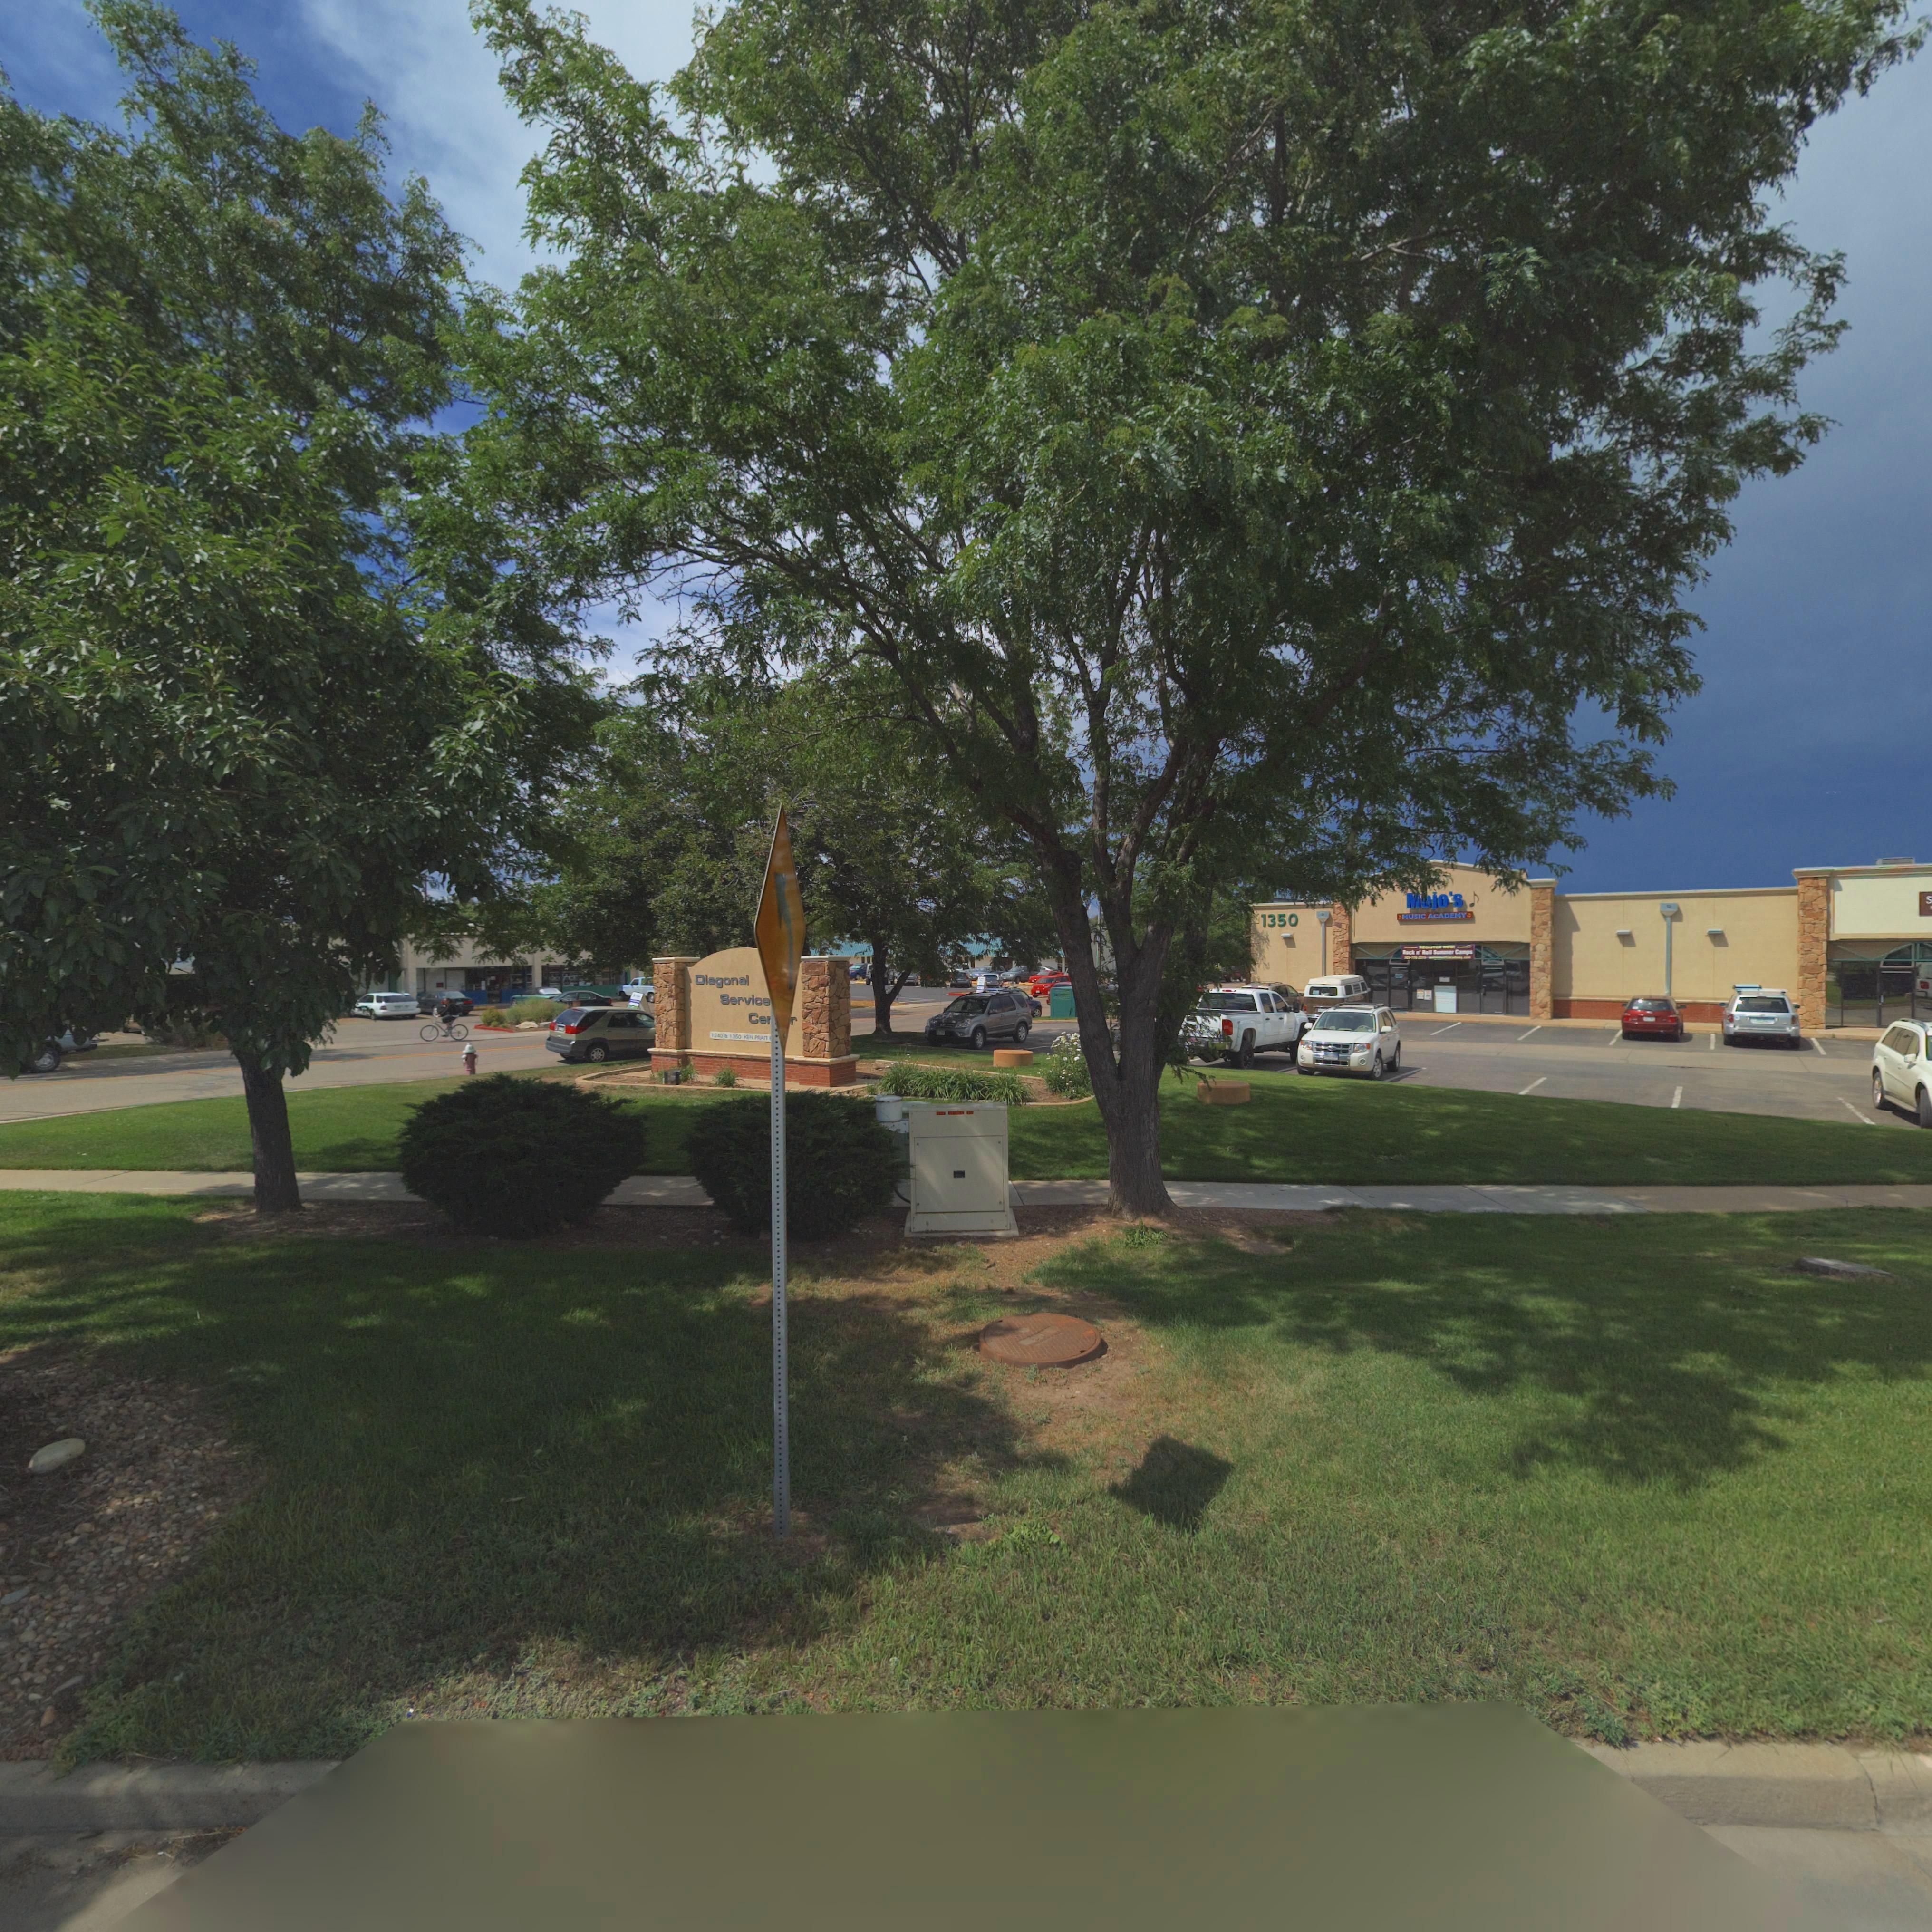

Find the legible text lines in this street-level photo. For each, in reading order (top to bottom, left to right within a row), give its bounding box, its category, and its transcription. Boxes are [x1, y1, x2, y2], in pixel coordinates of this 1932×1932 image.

[1406, 891, 1464, 910] BusinessName: M*jo's
[1925, 895, 1932, 904] BusinessName: s
[1401, 912, 1467, 919] BusinessName: MUSIC ACADEMY
[1260, 913, 1298, 927] StreetNumber: 1350
[712, 1033, 723, 1038] StreetNumber: 1240
[729, 1034, 741, 1039] StreetNumber: 1350
[743, 1034, 768, 1041] StreetName: KEN PRATT